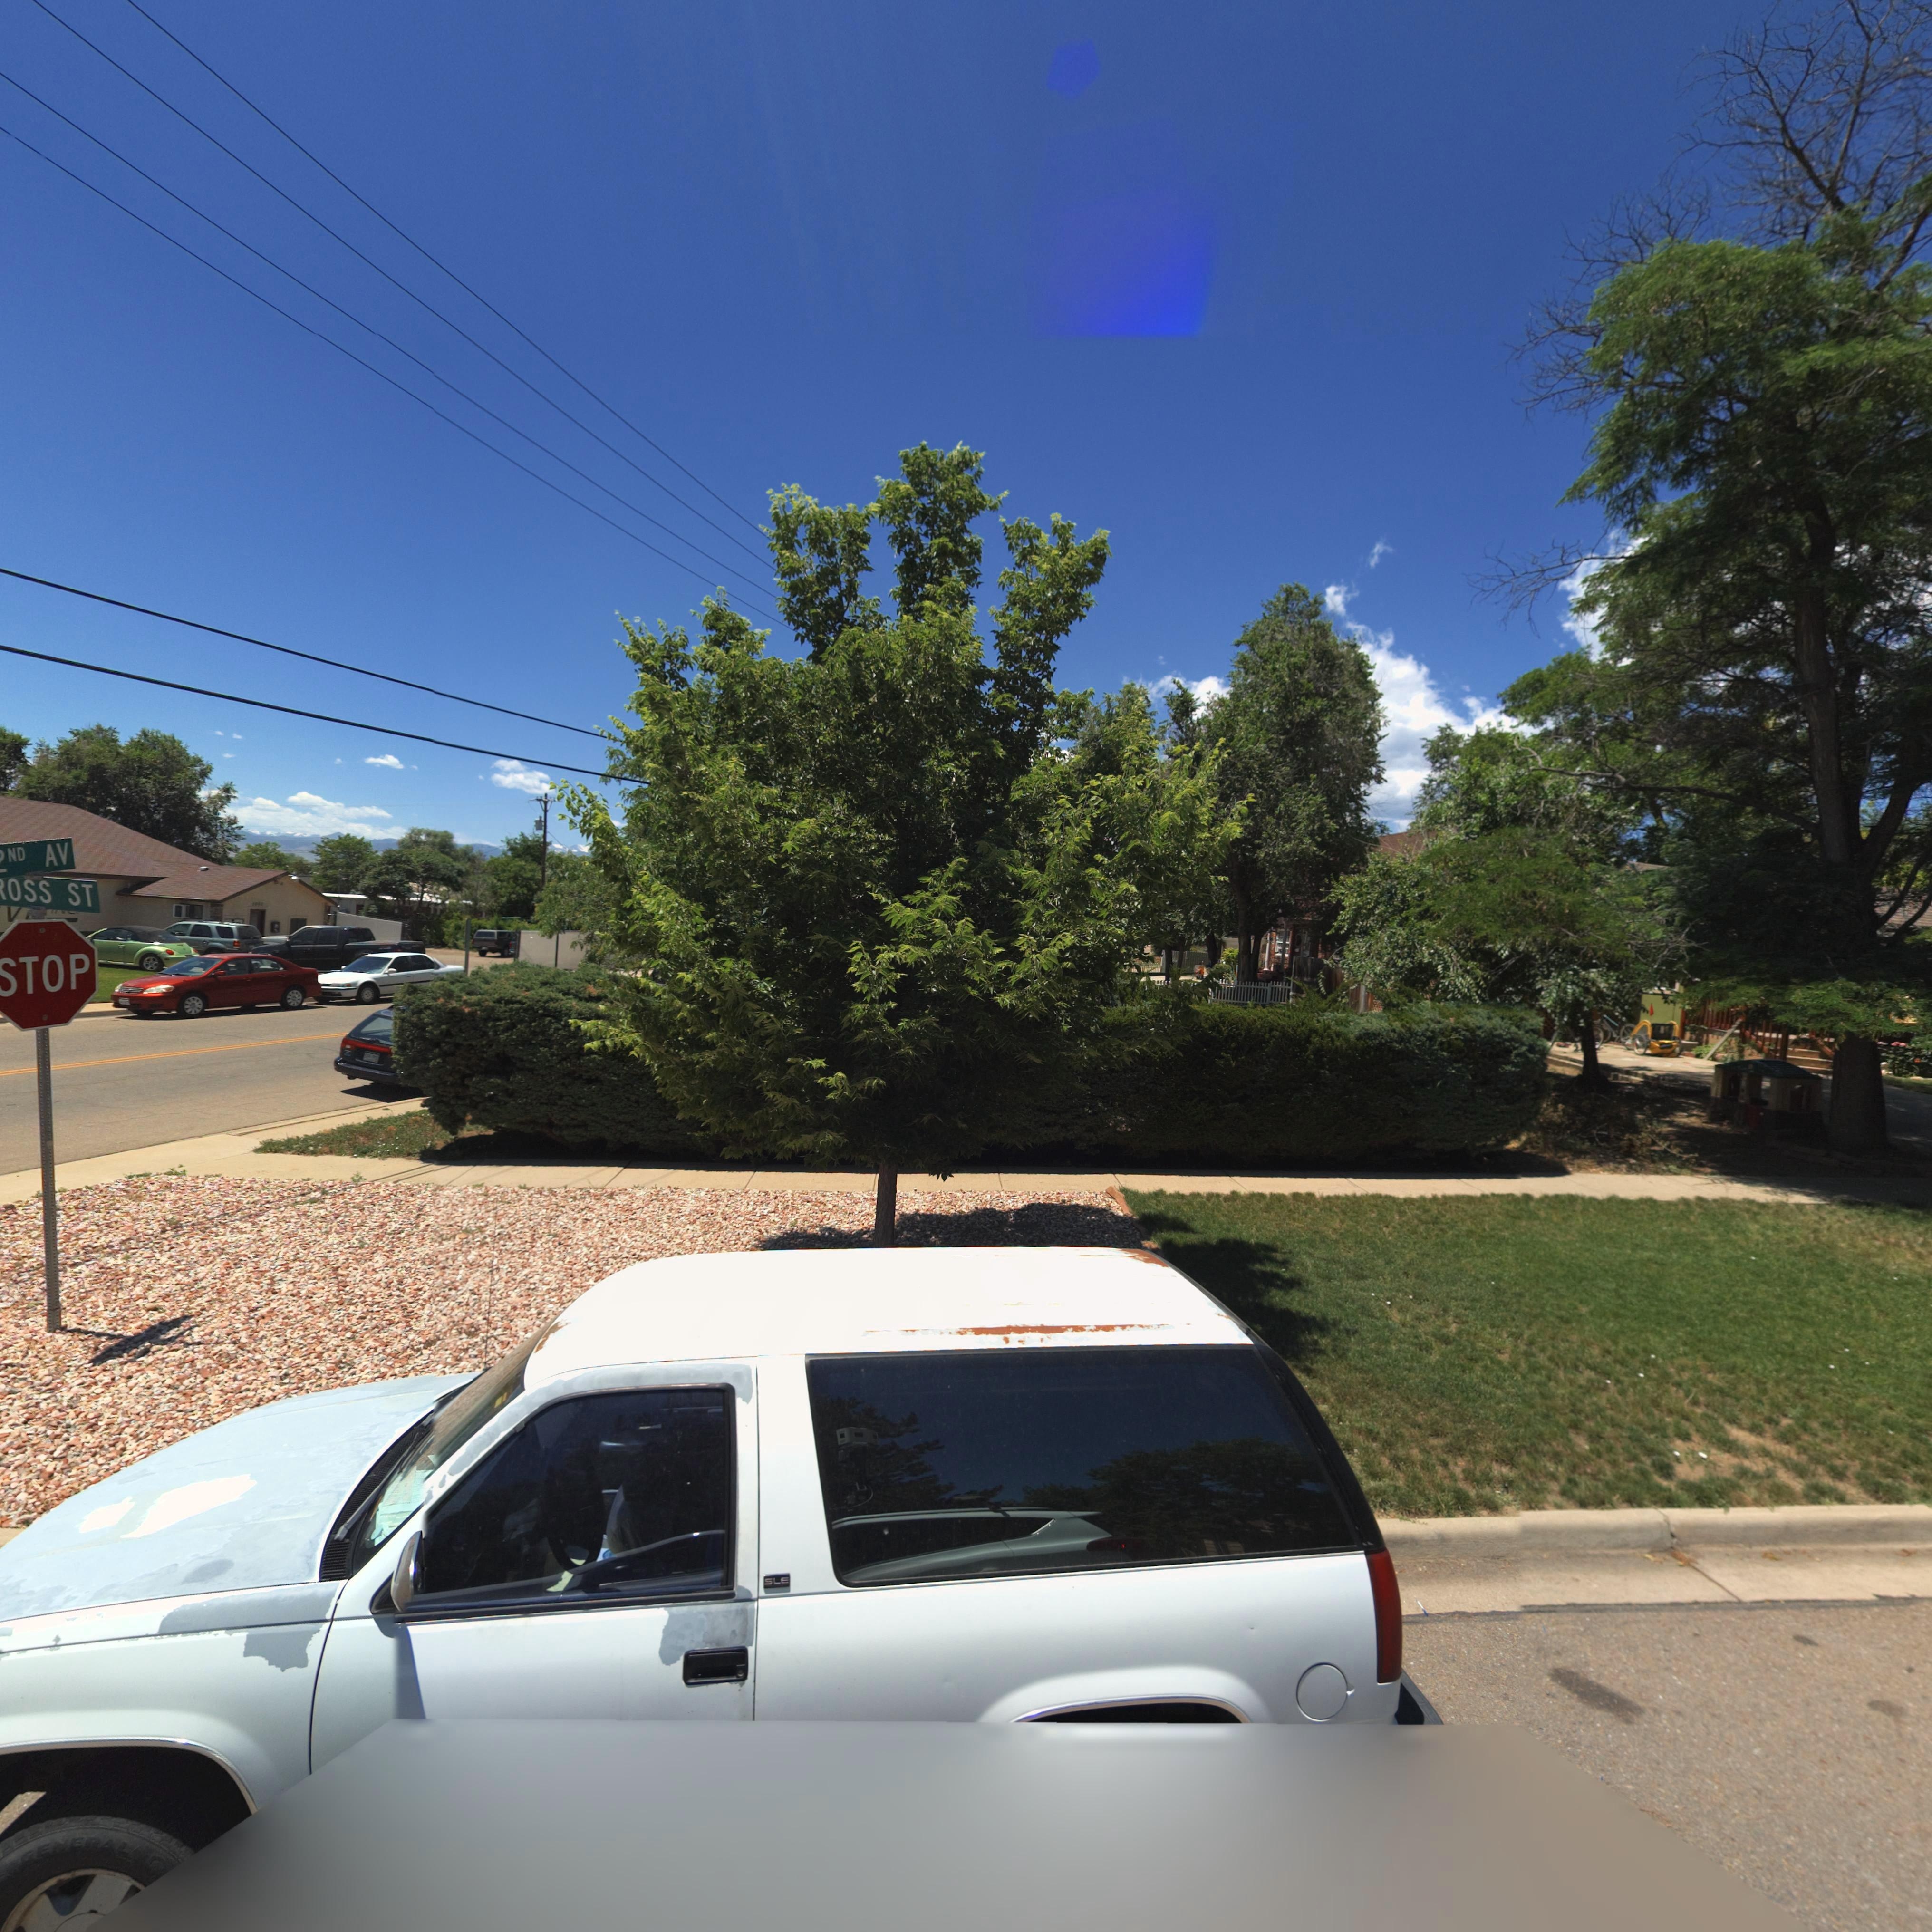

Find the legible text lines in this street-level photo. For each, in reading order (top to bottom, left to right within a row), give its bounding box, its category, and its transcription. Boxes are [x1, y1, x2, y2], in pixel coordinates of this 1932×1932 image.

[5, 841, 70, 870] StreetName: ND AV
[6, 877, 95, 907] StreetName:   OSS ST